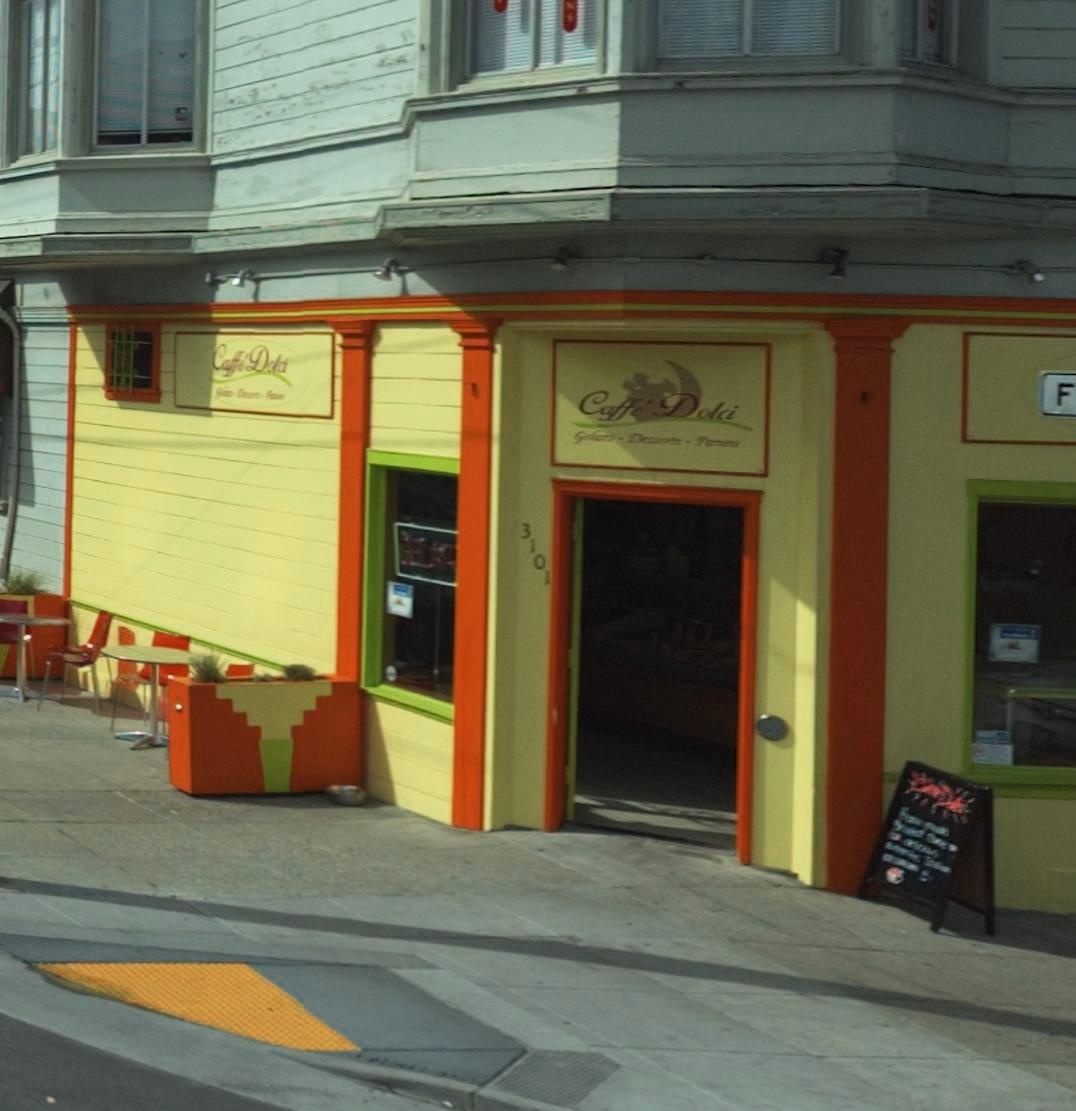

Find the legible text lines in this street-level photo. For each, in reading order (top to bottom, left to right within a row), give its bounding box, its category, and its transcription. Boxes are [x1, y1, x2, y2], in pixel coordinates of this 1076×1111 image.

[209, 339, 293, 381] BusinessName: C**** D****
[577, 386, 745, 425] BusinessName: Caffe D*l*i
[1054, 380, 1076, 410] StreetName: F
[516, 519, 555, 589] StreetNumber: 3101